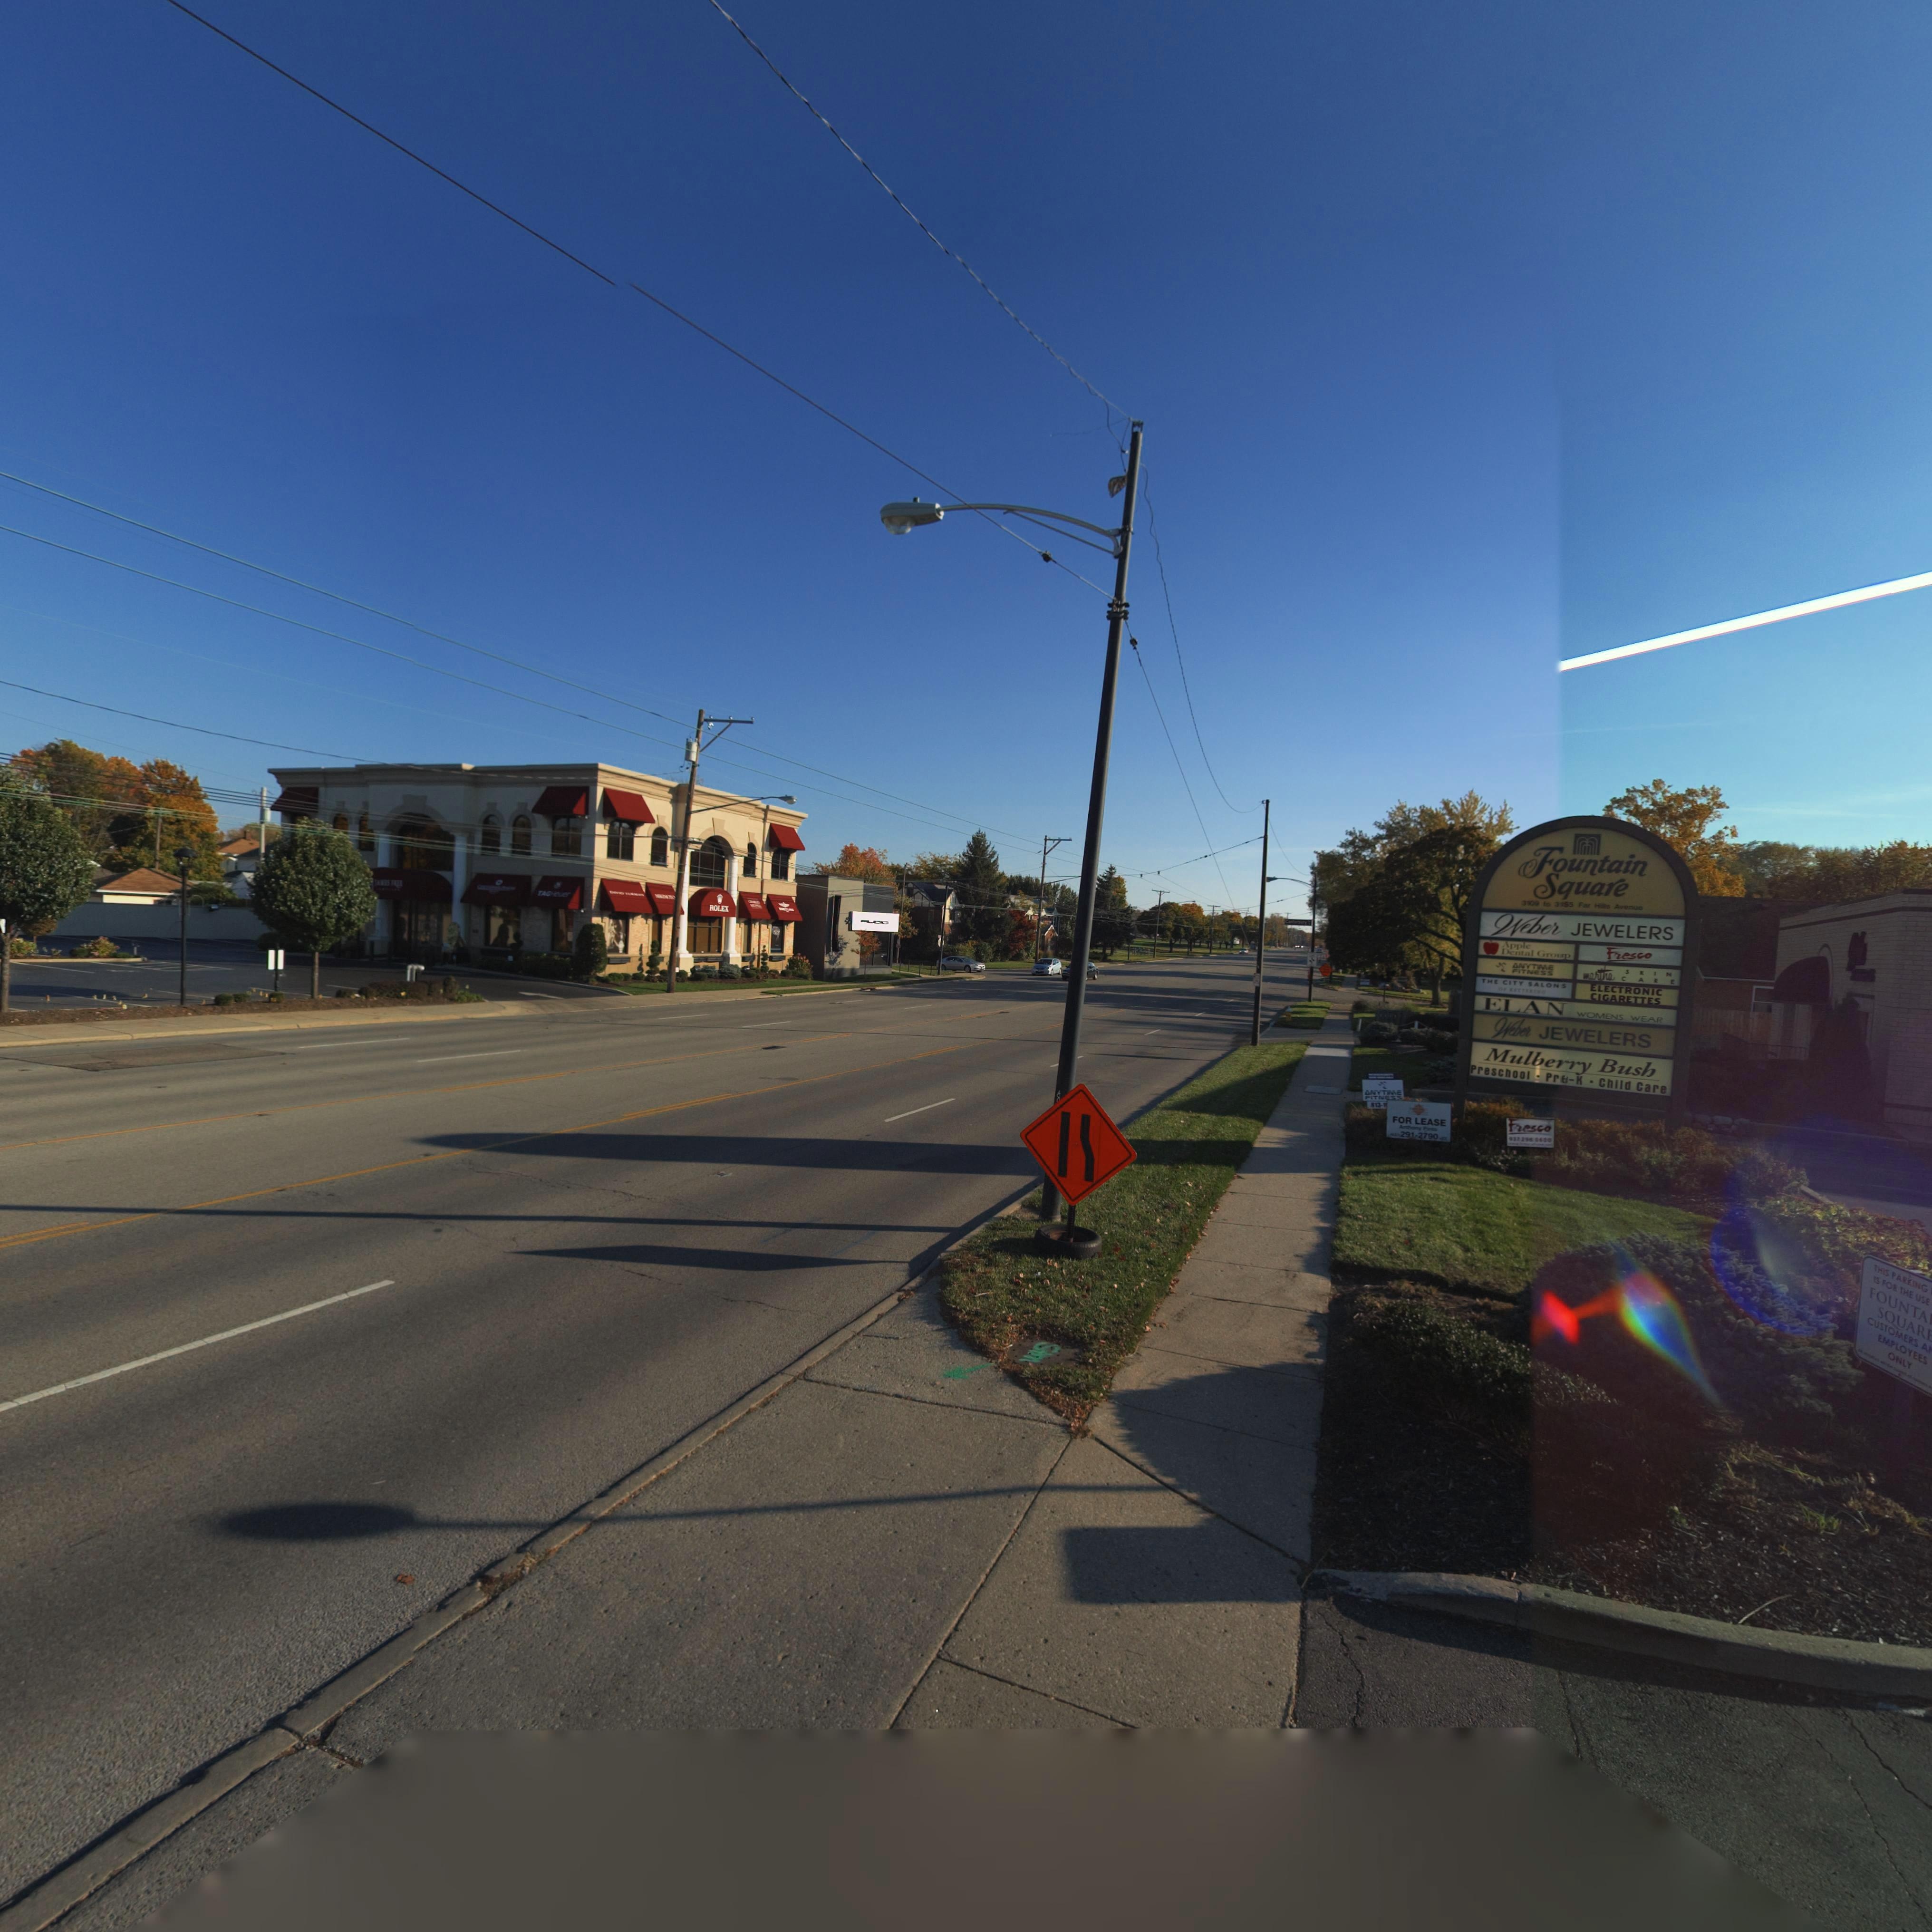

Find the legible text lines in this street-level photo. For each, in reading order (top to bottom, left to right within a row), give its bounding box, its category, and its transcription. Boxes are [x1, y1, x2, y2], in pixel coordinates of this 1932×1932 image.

[536, 890, 552, 898] BusinessName: TAG
[709, 904, 729, 913] BusinessName: ROLEX
[1521, 899, 1540, 907] StreetNumber: 3109
[1554, 901, 1574, 908] StreetNumber: 3155
[1577, 901, 1644, 911] StreetName: Far Hills Avenue
[1489, 912, 1674, 942] BusinessName: Weber JEWELERS
[1501, 940, 1533, 950] BusinessName: Apple
[1501, 947, 1572, 961] BusinessName: Dental Group
[1605, 946, 1653, 960] BusinessName: Fresco
[1510, 961, 1555, 971] BusinessName: ANYTIME
[1511, 968, 1554, 977] BusinessName: FITNESS
[1624, 968, 1672, 977] BusinessName: SKIN
[1481, 977, 1567, 989] BusinessName: THE CITY SALONS
[1621, 976, 1676, 985] BusinessName: CARE
[1589, 983, 1664, 997] BusinessName: ELECTRONIC
[1590, 992, 1662, 1005] BusinessName: CIGARETTES
[1480, 996, 1568, 1017] BusinessName: ELAN
[1575, 1010, 1664, 1024] BusinessName: WOMENS WEAR
[1489, 1016, 1653, 1049] BusinessName: Weber JEWELERS
[1482, 1046, 1658, 1079] BusinessName: Mulberry Bush
[1507, 1118, 1553, 1133] None: Fresco